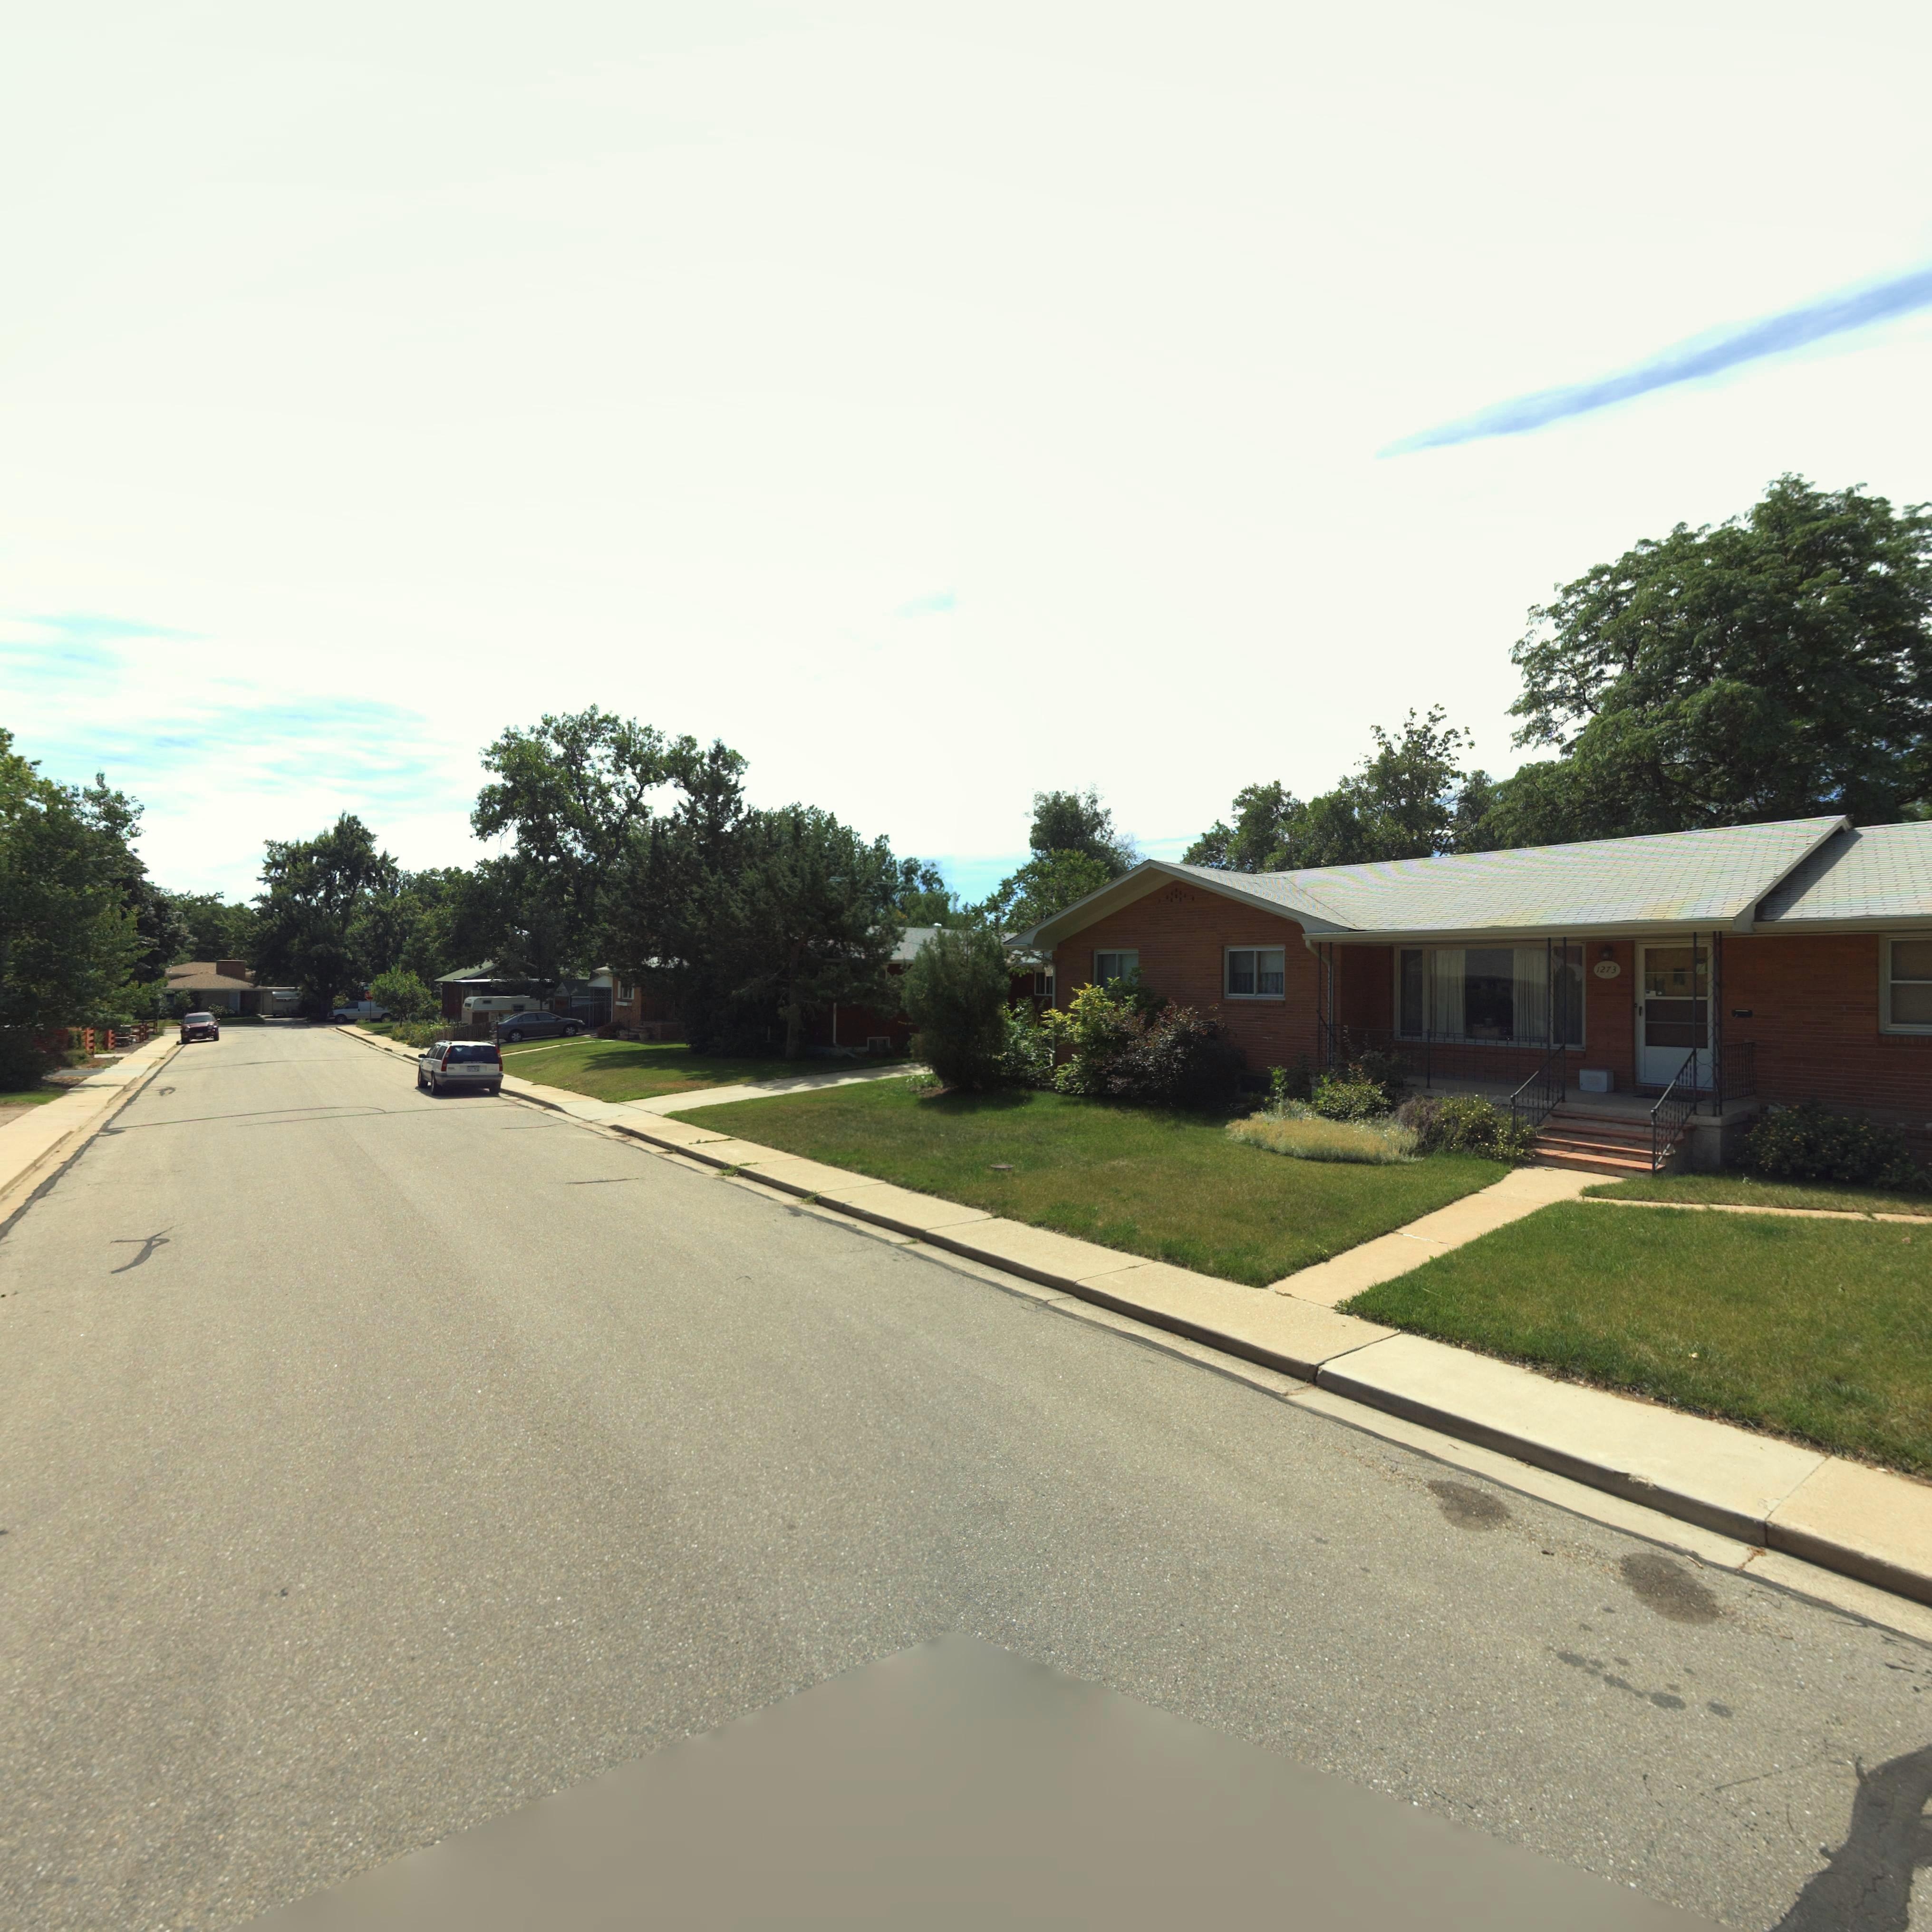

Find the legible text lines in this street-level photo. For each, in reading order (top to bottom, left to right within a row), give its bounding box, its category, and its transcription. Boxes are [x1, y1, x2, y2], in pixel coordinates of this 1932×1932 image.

[1596, 966, 1617, 974] StreetNumber: 1273